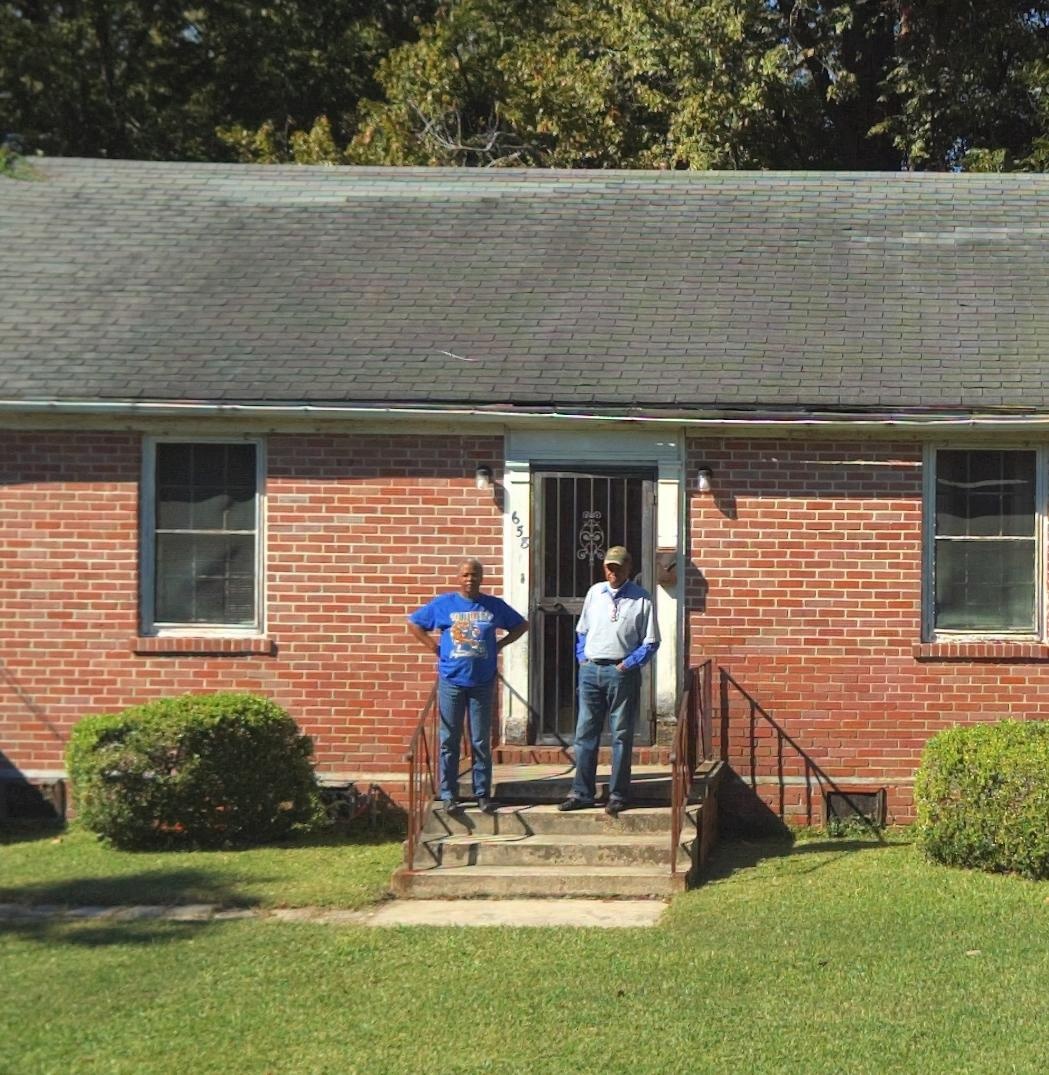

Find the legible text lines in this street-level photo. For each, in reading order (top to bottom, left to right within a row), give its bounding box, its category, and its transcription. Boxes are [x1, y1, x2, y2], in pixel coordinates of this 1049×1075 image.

[509, 508, 532, 552] StreetNumber: 658